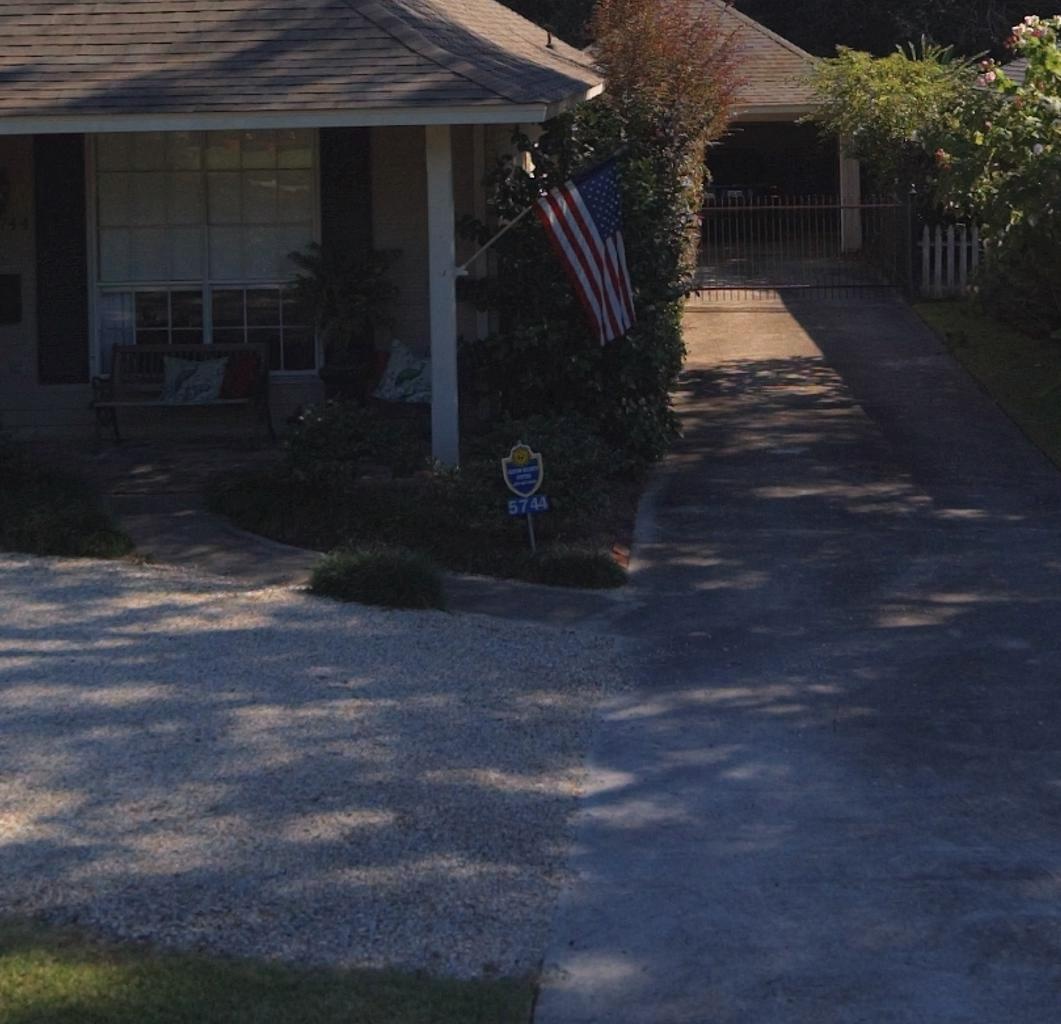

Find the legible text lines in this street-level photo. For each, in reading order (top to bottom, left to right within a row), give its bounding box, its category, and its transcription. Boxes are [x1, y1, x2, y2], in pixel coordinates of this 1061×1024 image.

[5, 216, 29, 231] StreetNumber: 44
[506, 494, 550, 517] StreetNumber: 5744